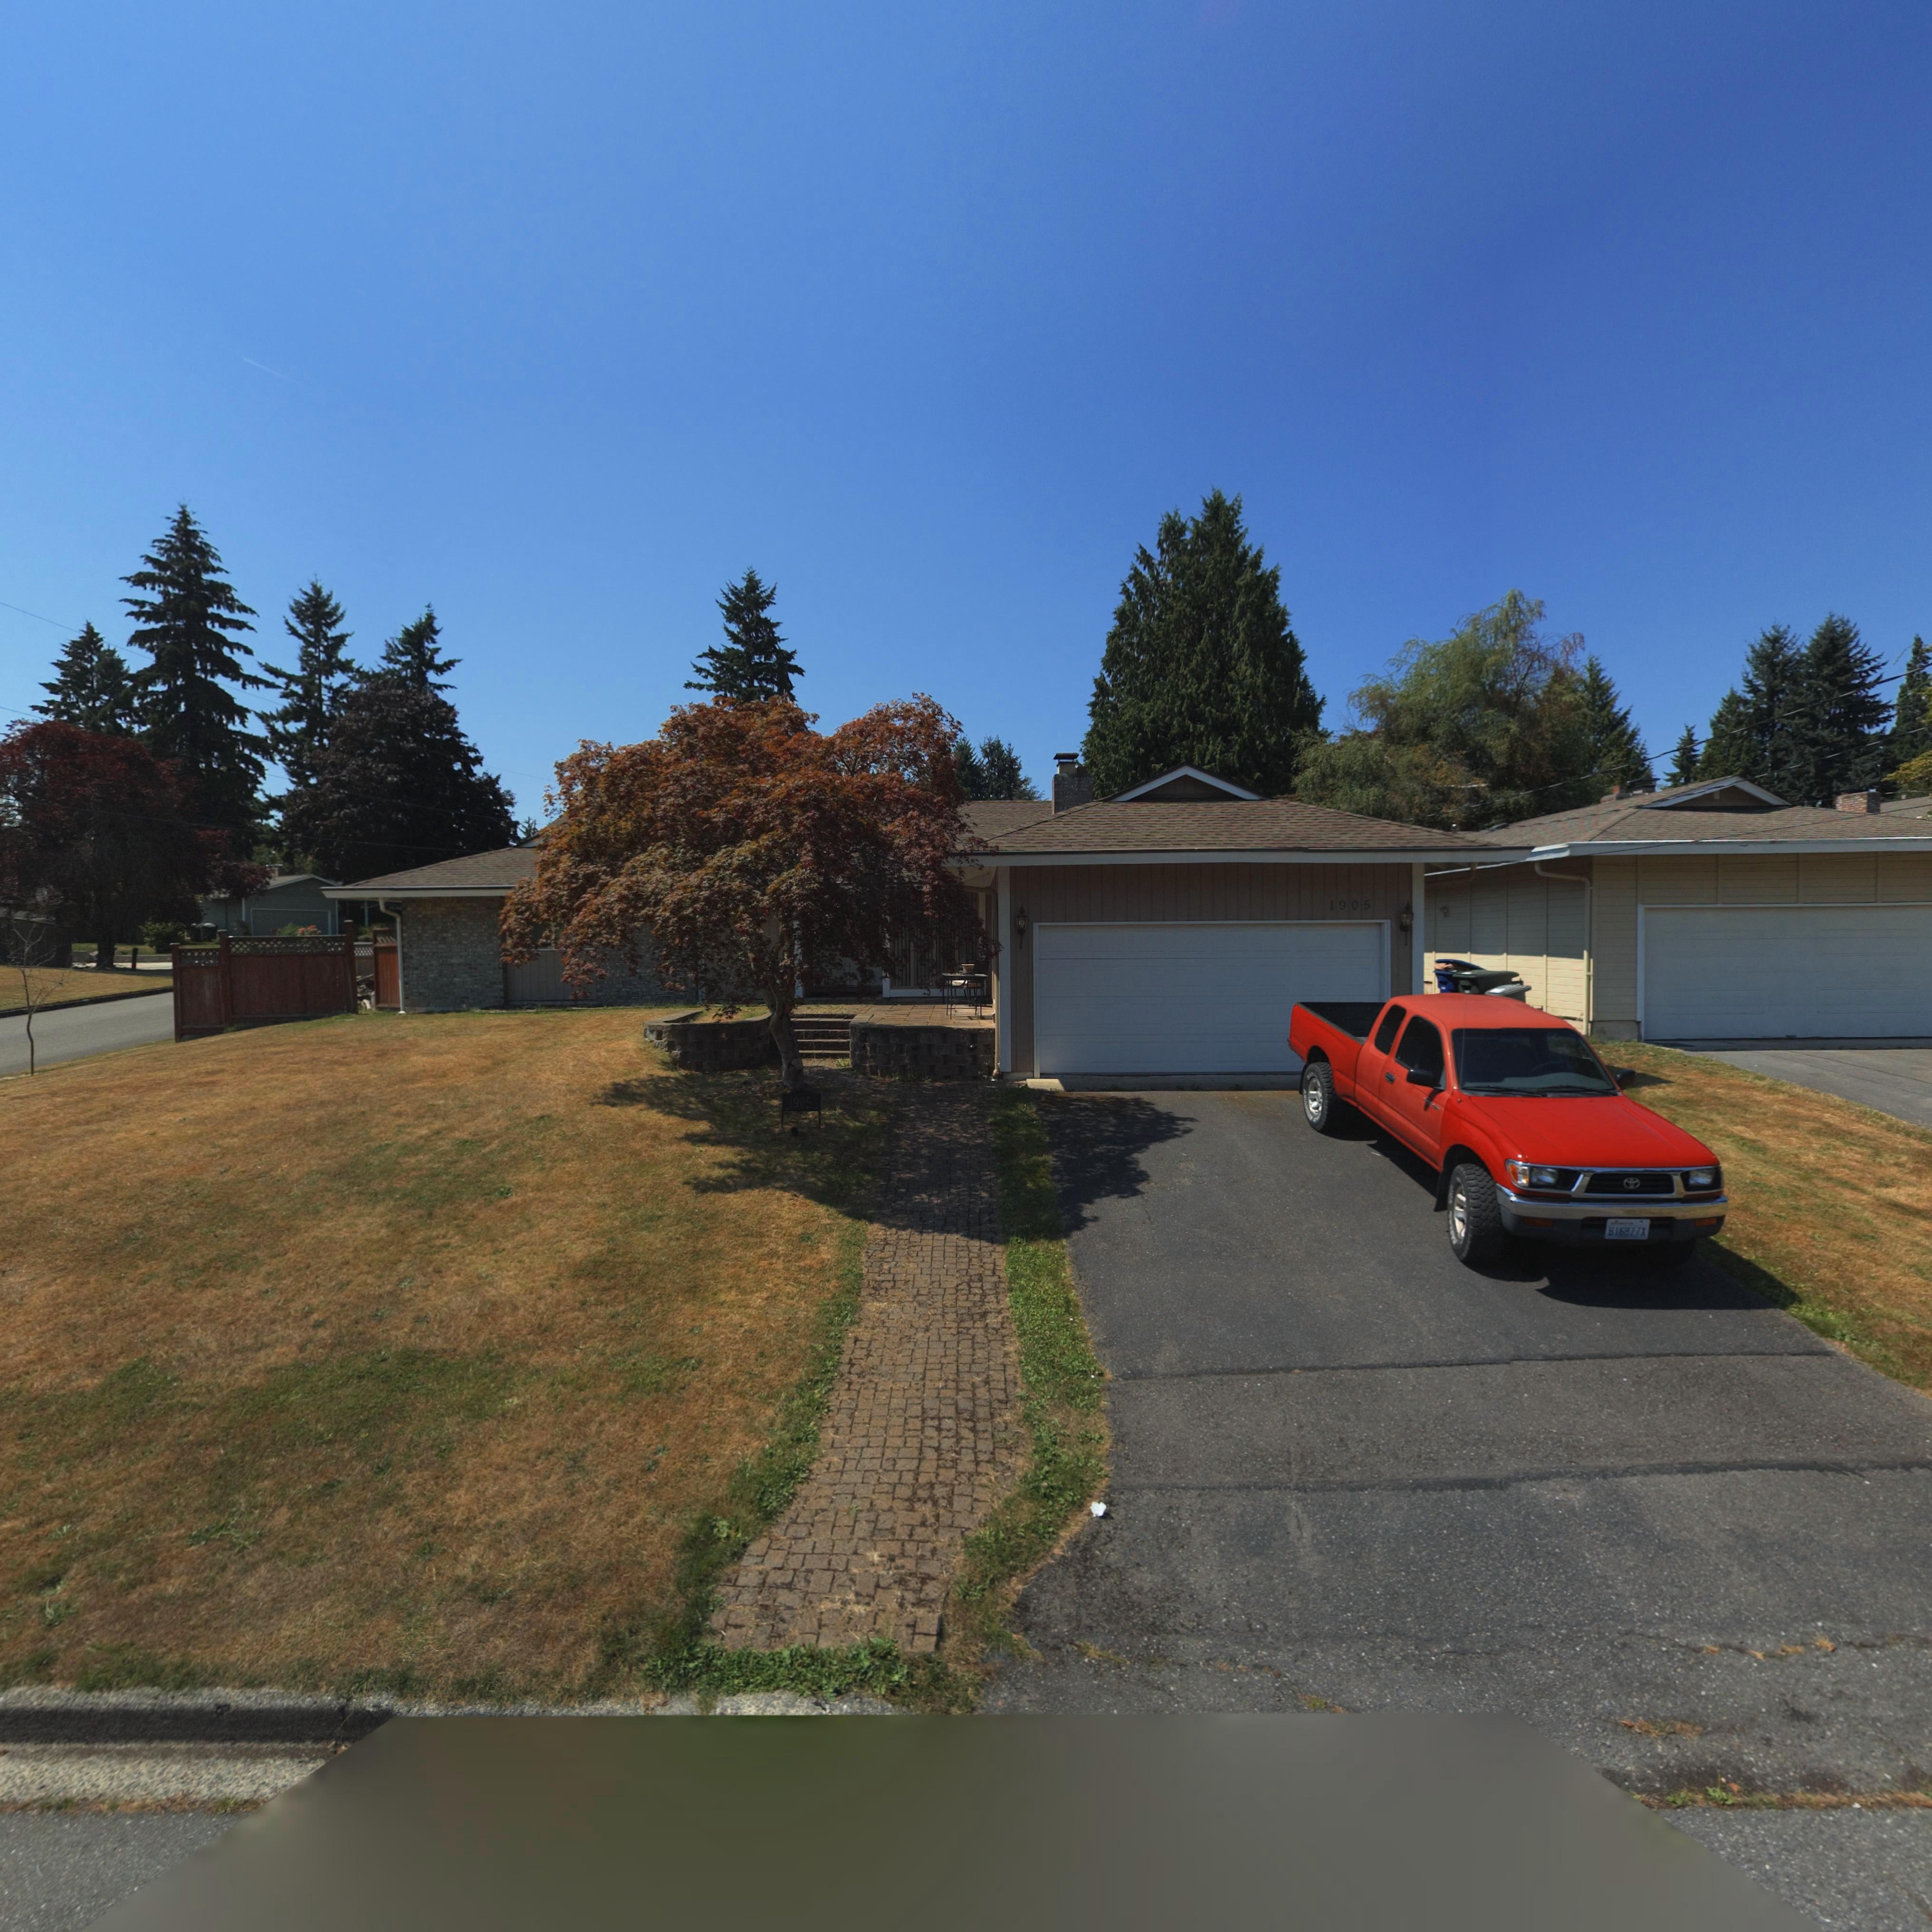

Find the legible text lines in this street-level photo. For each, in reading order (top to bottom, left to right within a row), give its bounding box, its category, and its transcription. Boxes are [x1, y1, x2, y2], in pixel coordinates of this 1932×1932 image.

[1330, 899, 1370, 910] StreetNumber: 1905